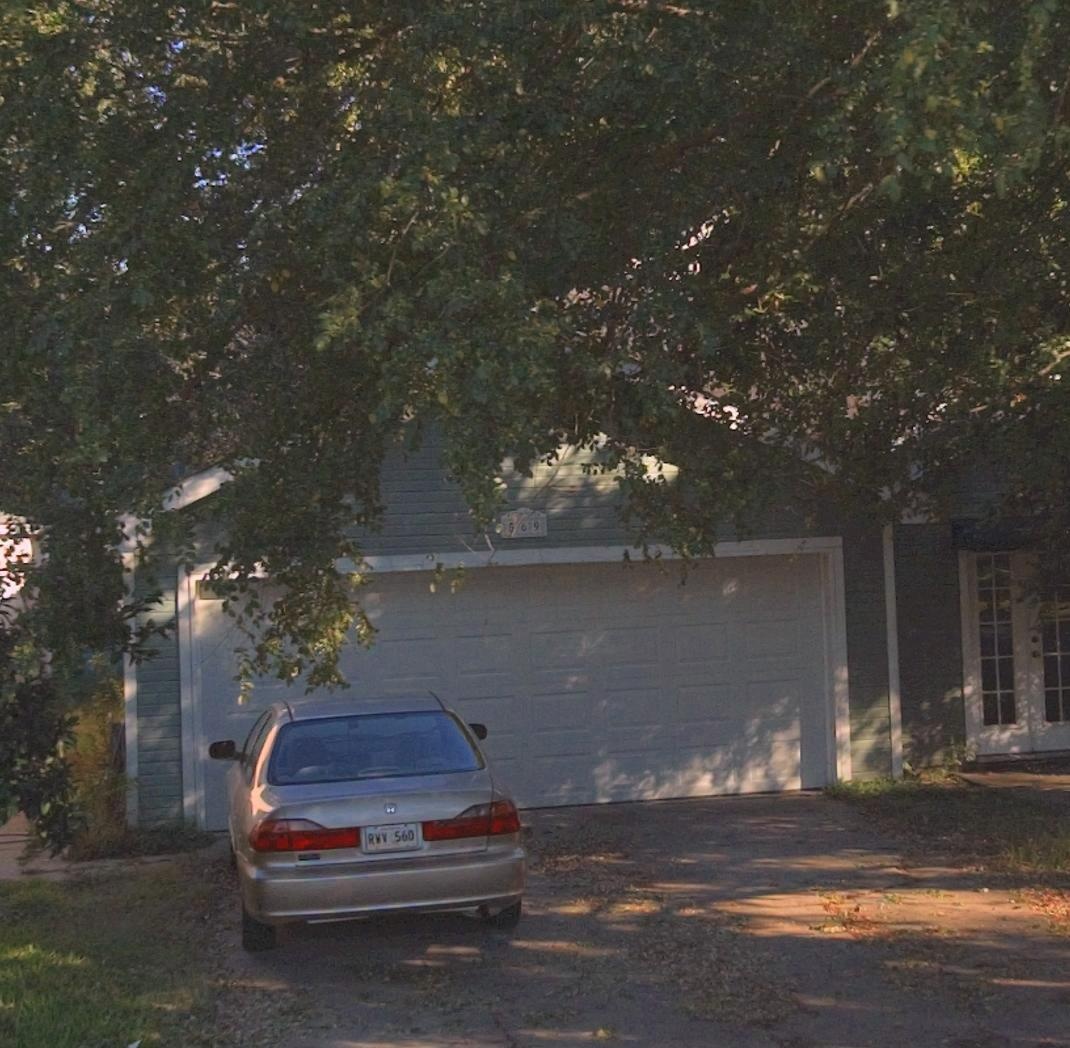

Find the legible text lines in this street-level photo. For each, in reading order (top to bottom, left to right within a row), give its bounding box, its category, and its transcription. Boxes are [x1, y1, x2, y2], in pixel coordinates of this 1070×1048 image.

[507, 521, 539, 533] StreetNumber: 569
[367, 828, 416, 846] None: RWV 560